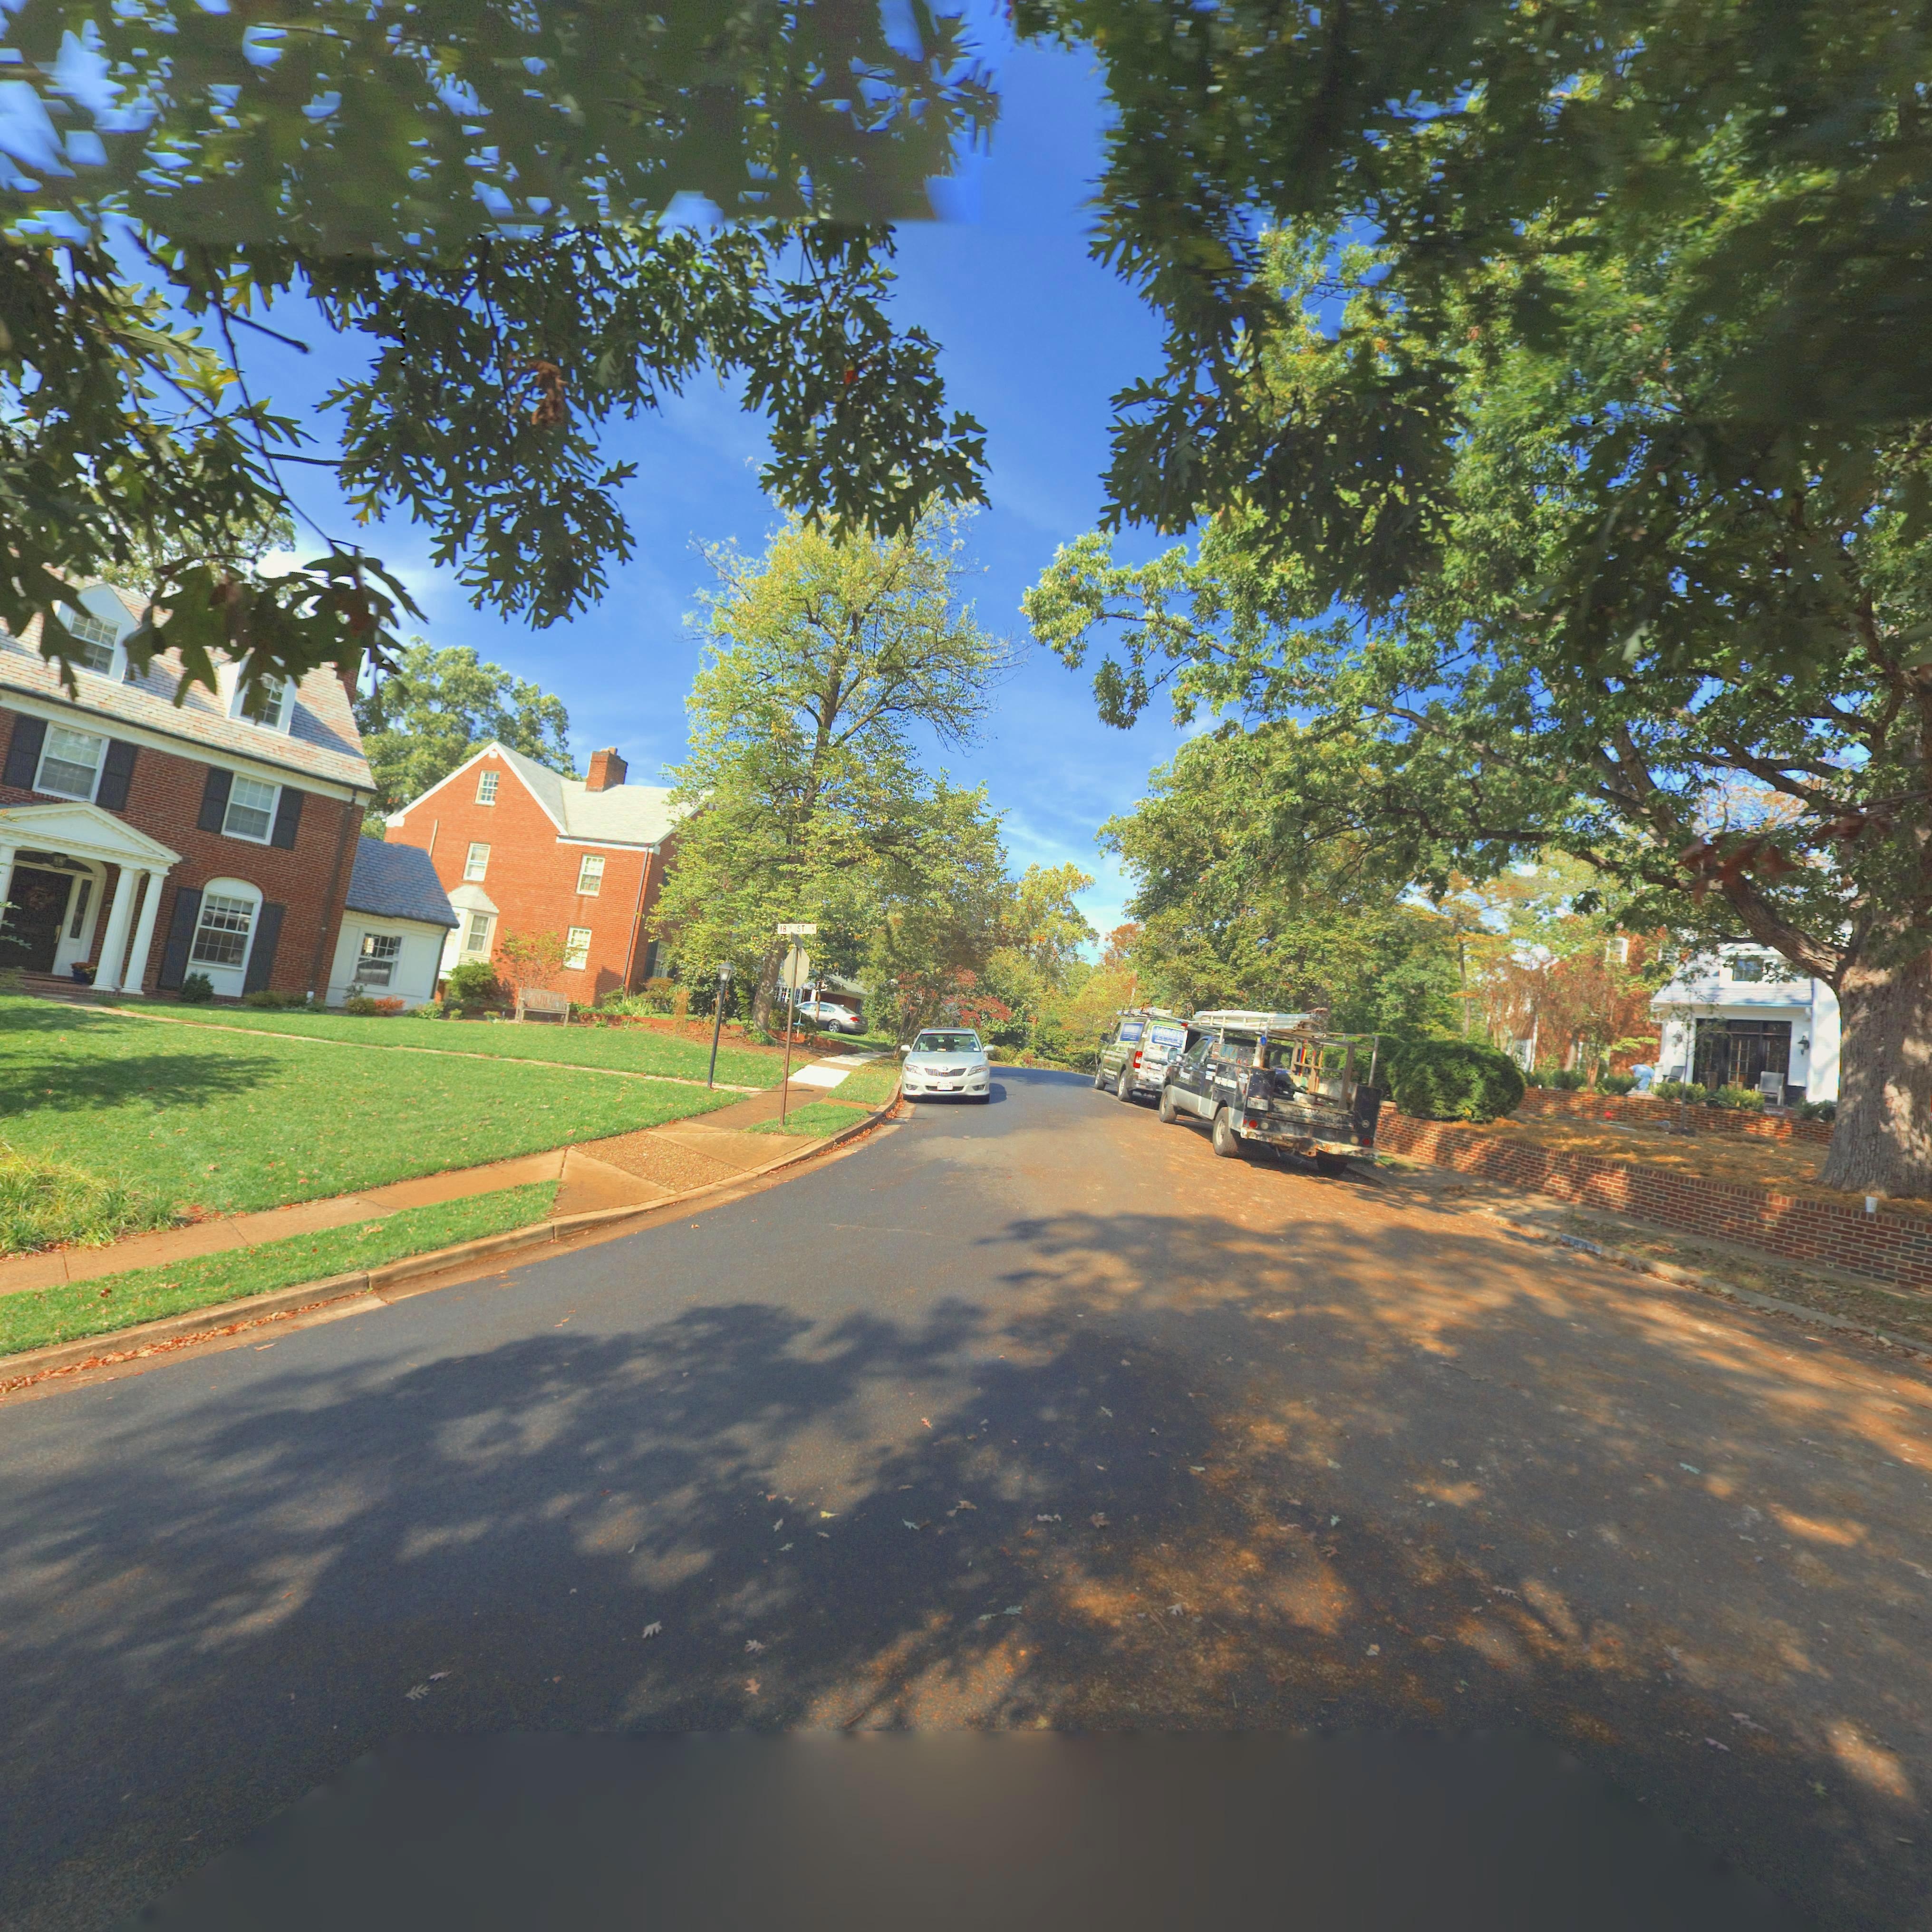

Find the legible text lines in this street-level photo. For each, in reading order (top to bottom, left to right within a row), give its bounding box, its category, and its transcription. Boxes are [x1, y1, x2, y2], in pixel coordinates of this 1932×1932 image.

[779, 924, 806, 933] StreetName: 18** ST